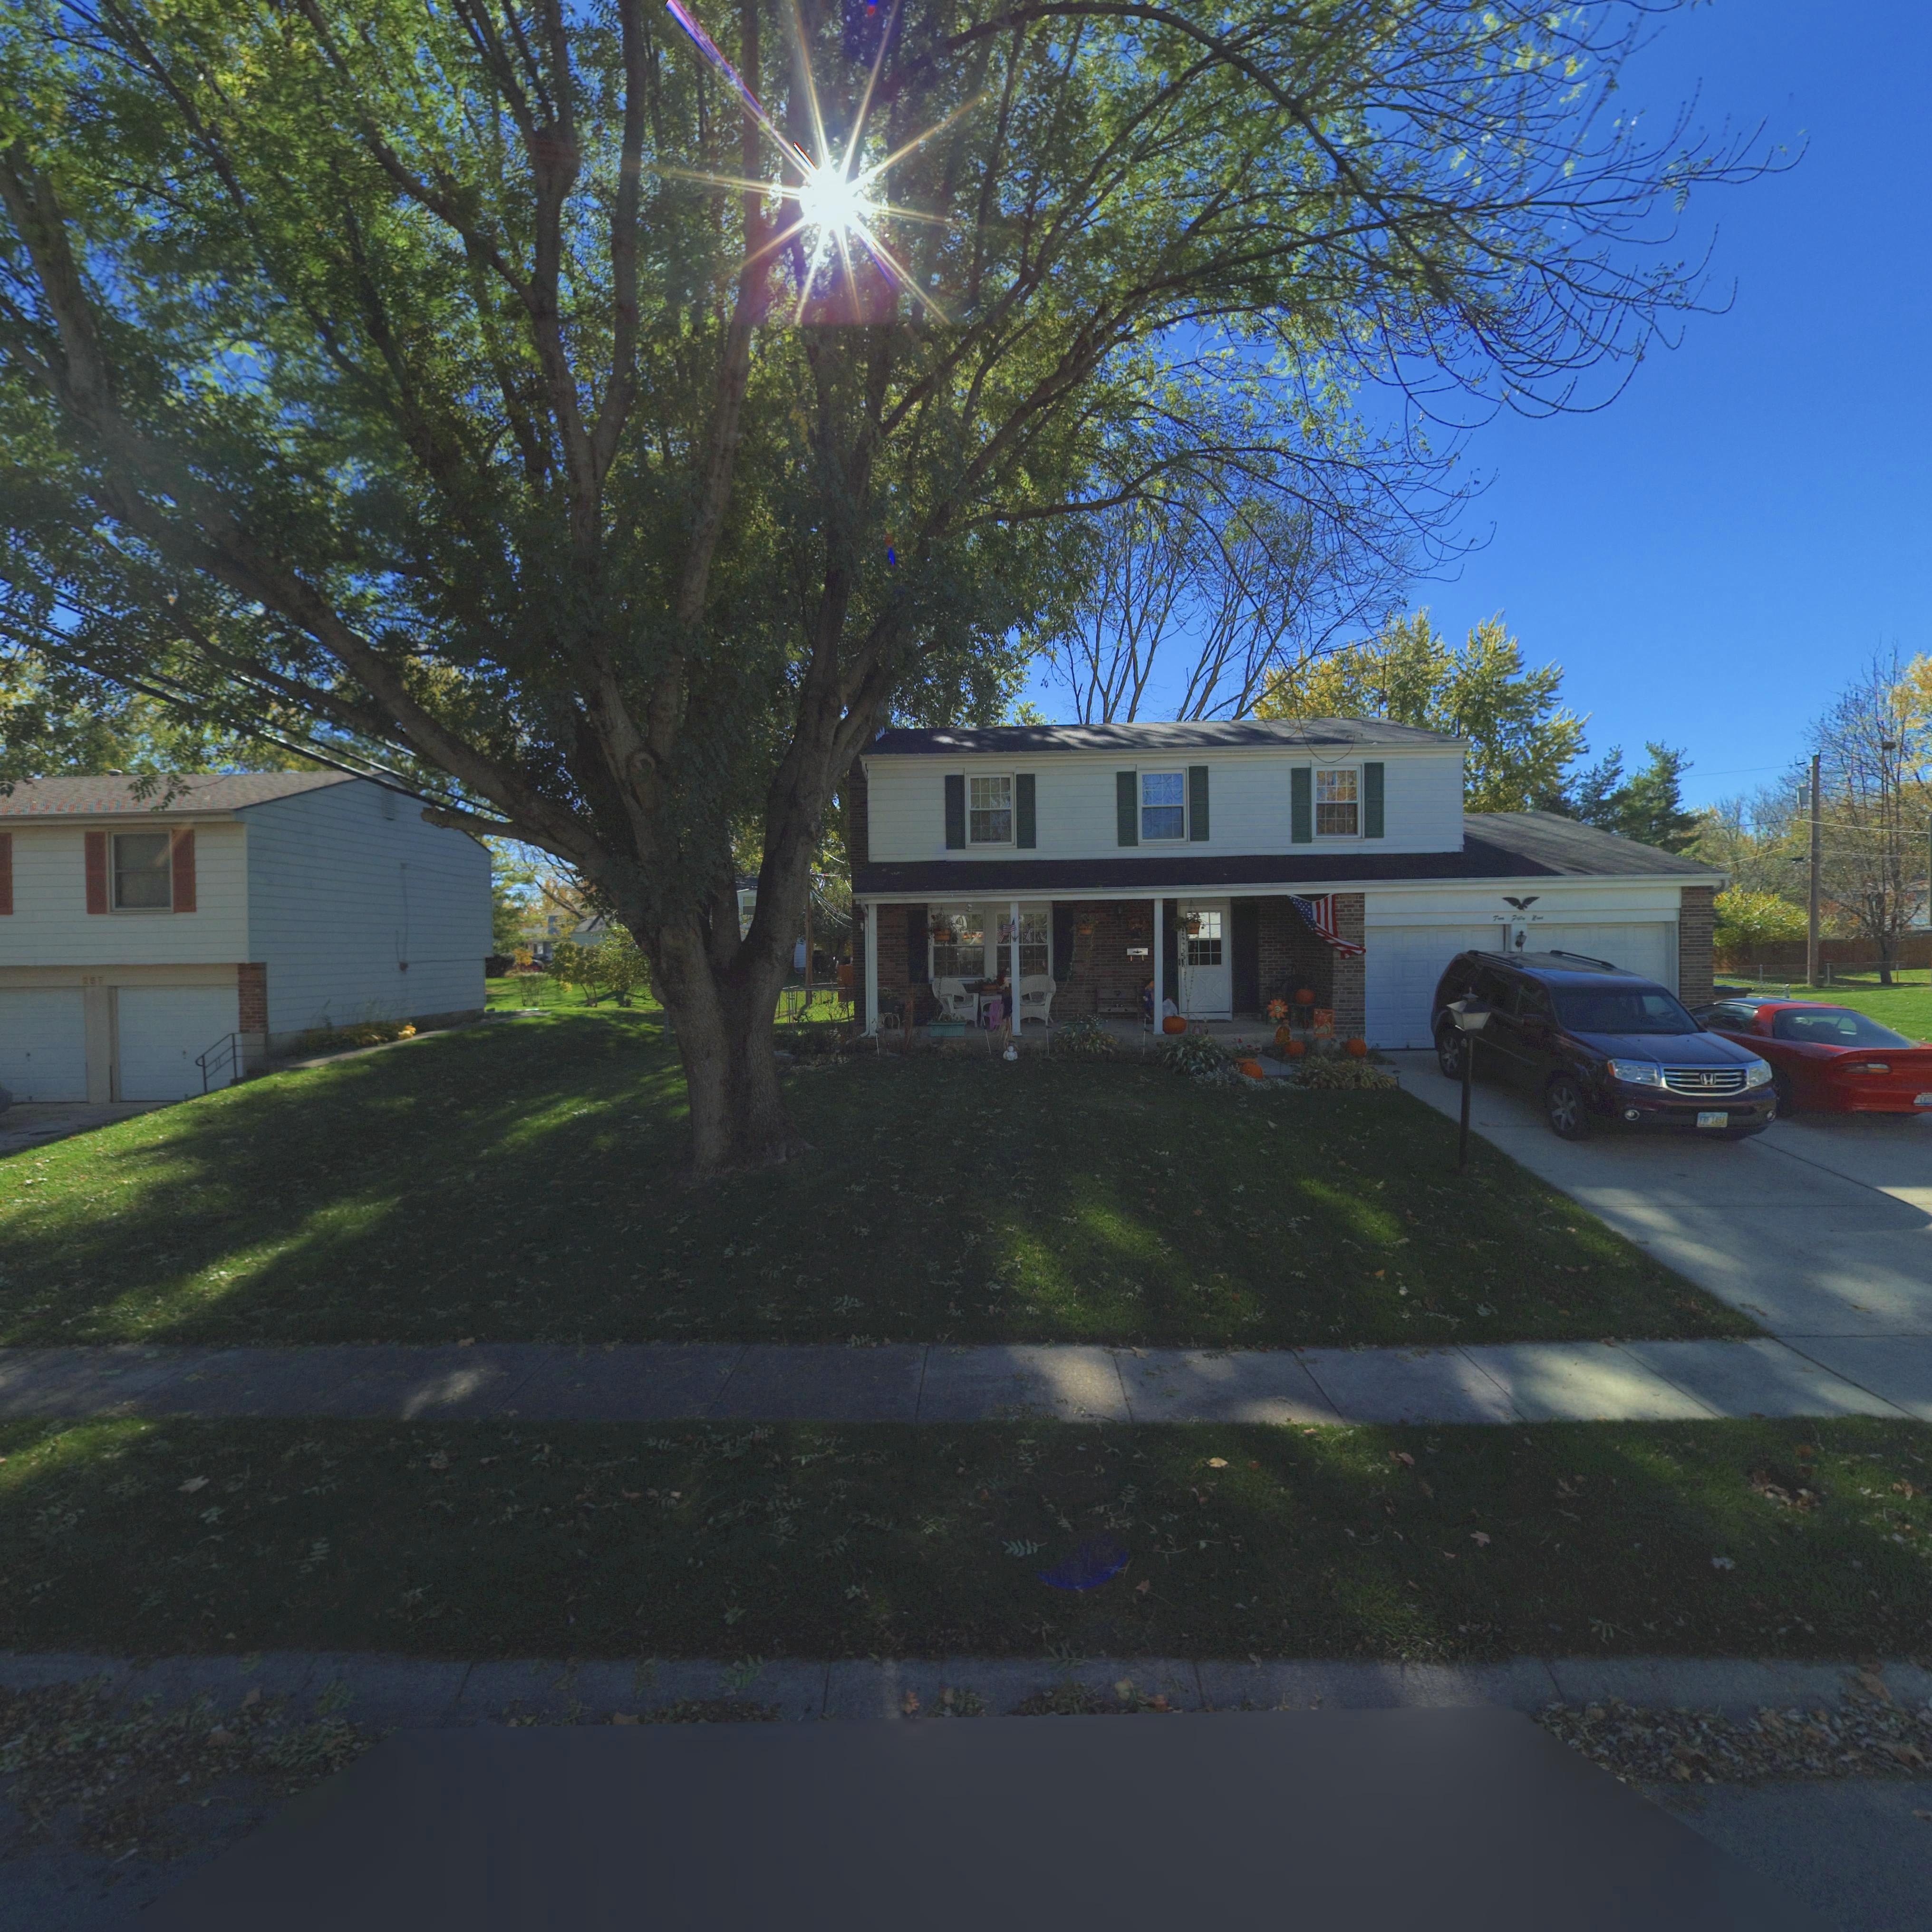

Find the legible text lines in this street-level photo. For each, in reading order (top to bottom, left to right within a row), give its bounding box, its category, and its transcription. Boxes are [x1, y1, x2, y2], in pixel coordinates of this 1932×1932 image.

[81, 976, 105, 986] StreetNumber: 26*